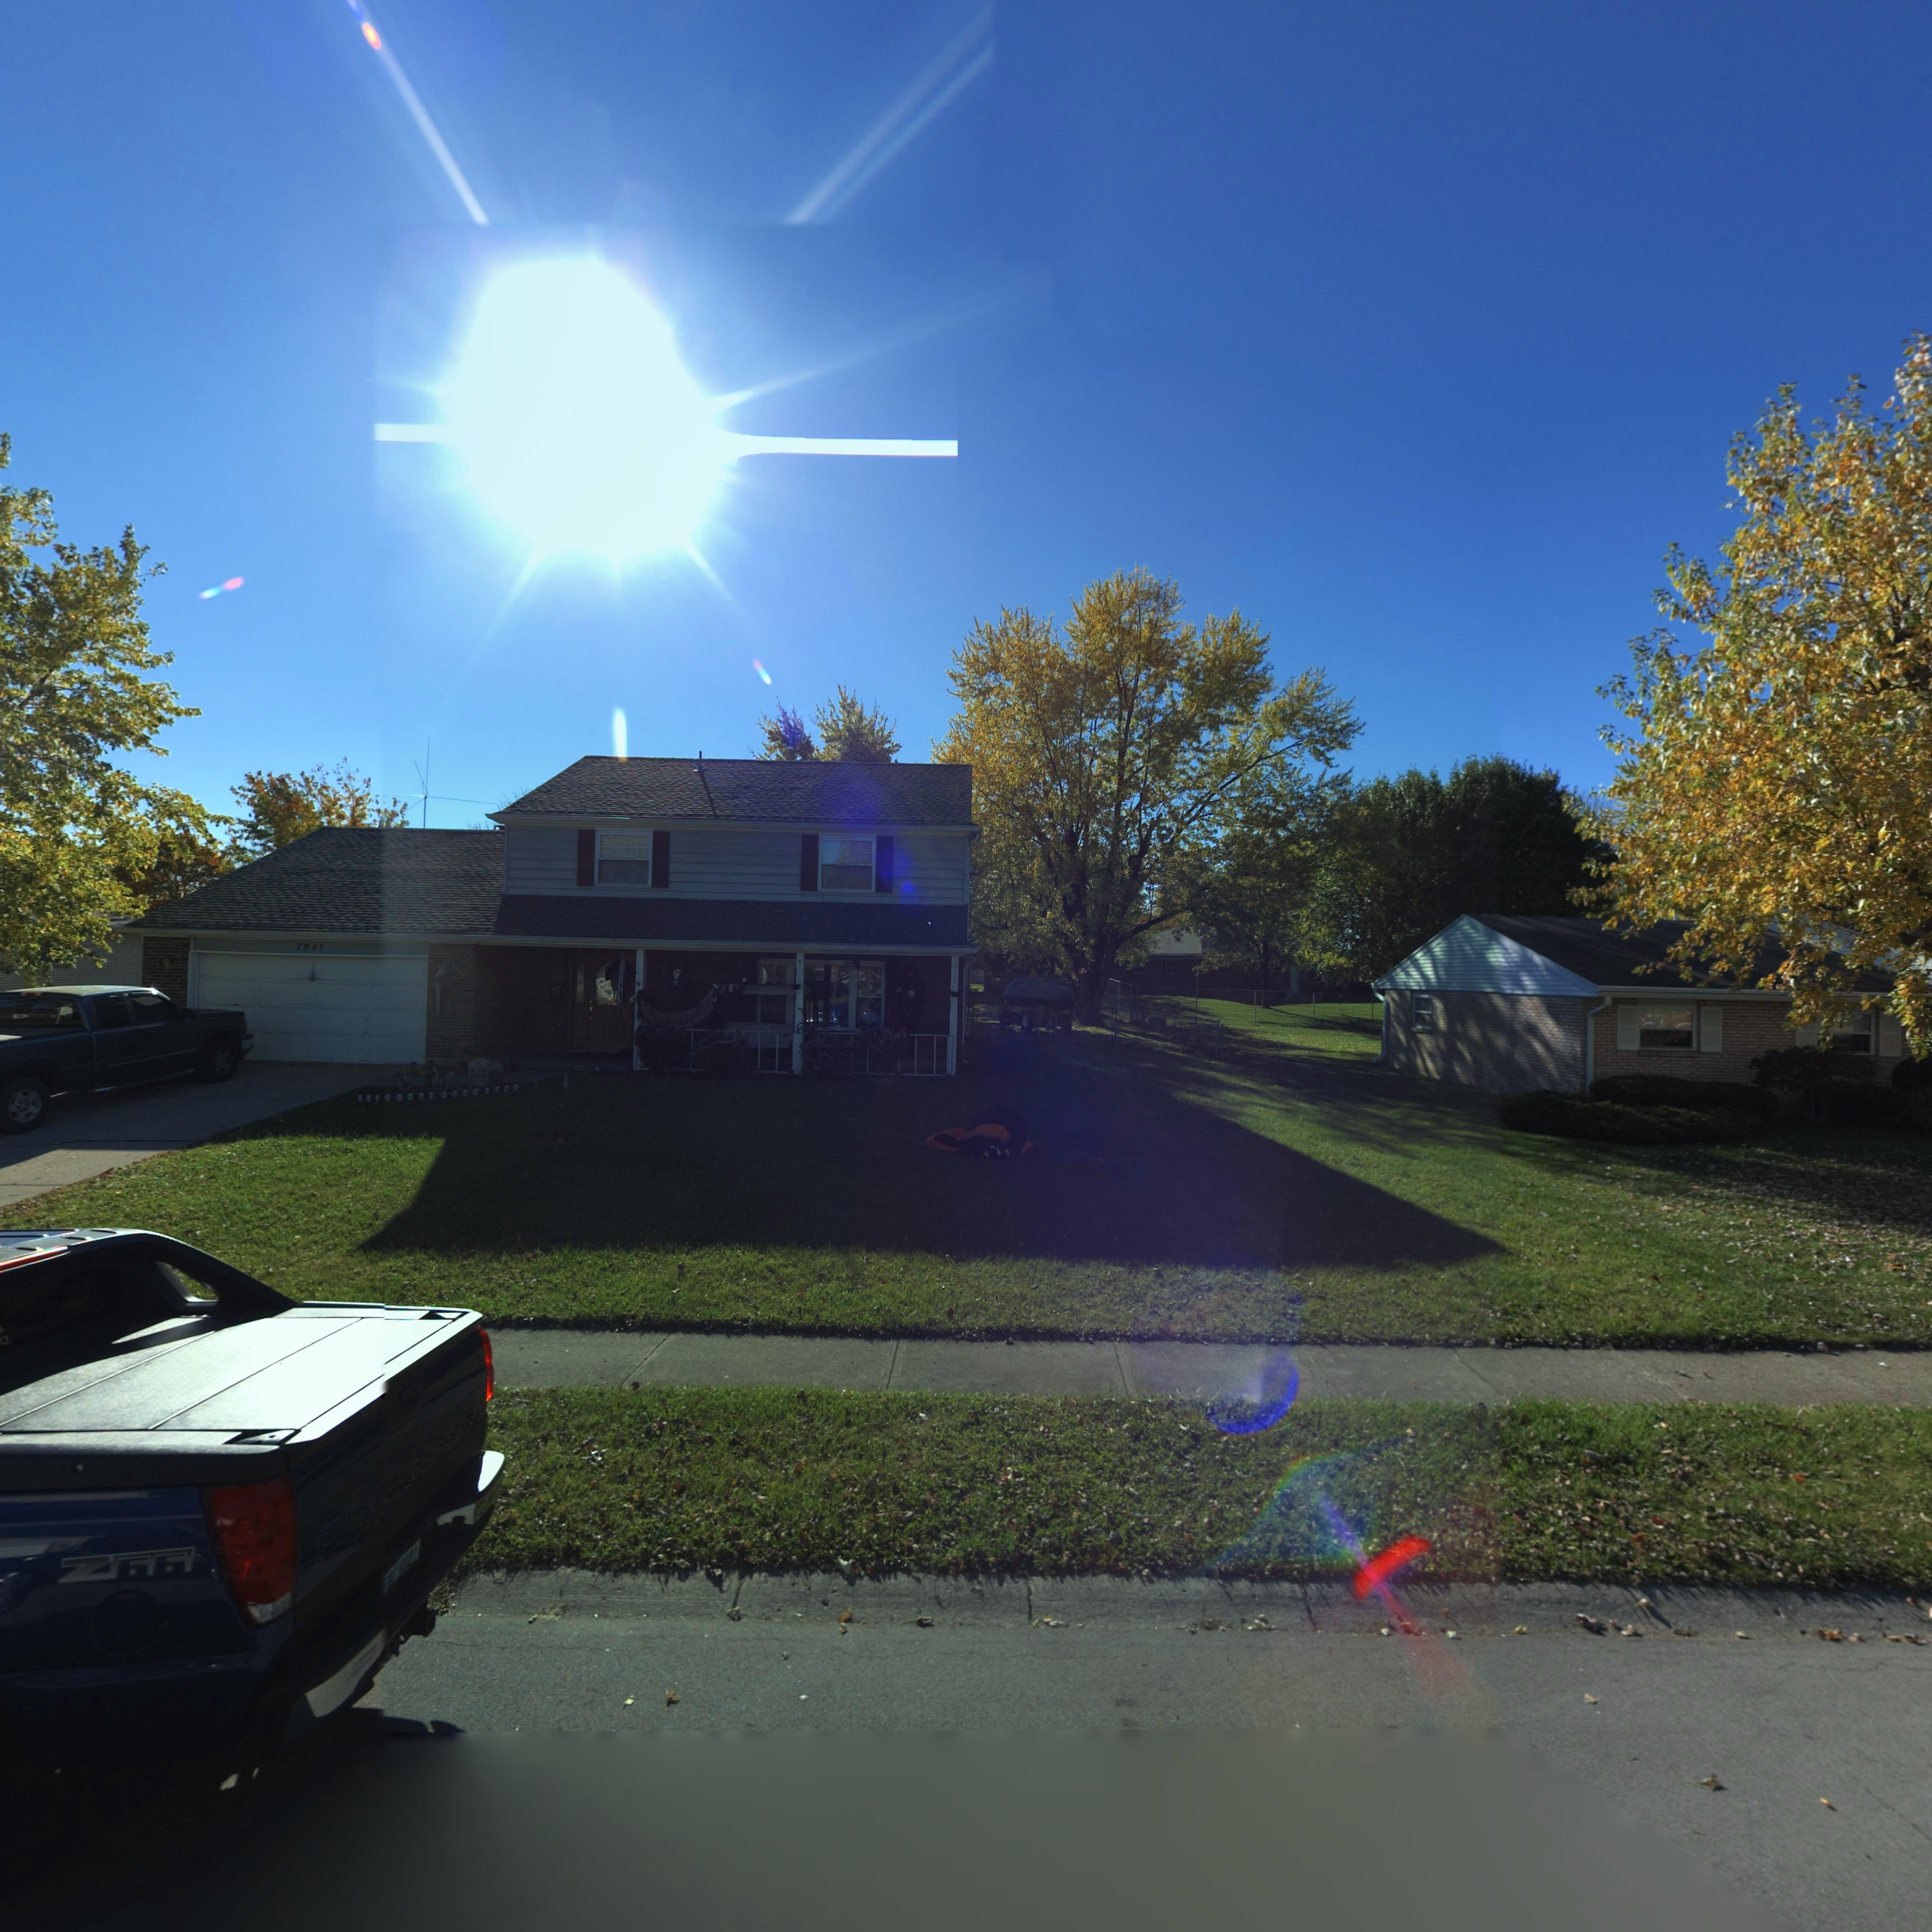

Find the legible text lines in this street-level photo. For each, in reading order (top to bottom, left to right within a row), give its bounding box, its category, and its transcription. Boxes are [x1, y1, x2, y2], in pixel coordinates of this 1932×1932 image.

[295, 942, 326, 952] StreetNumber: 7047